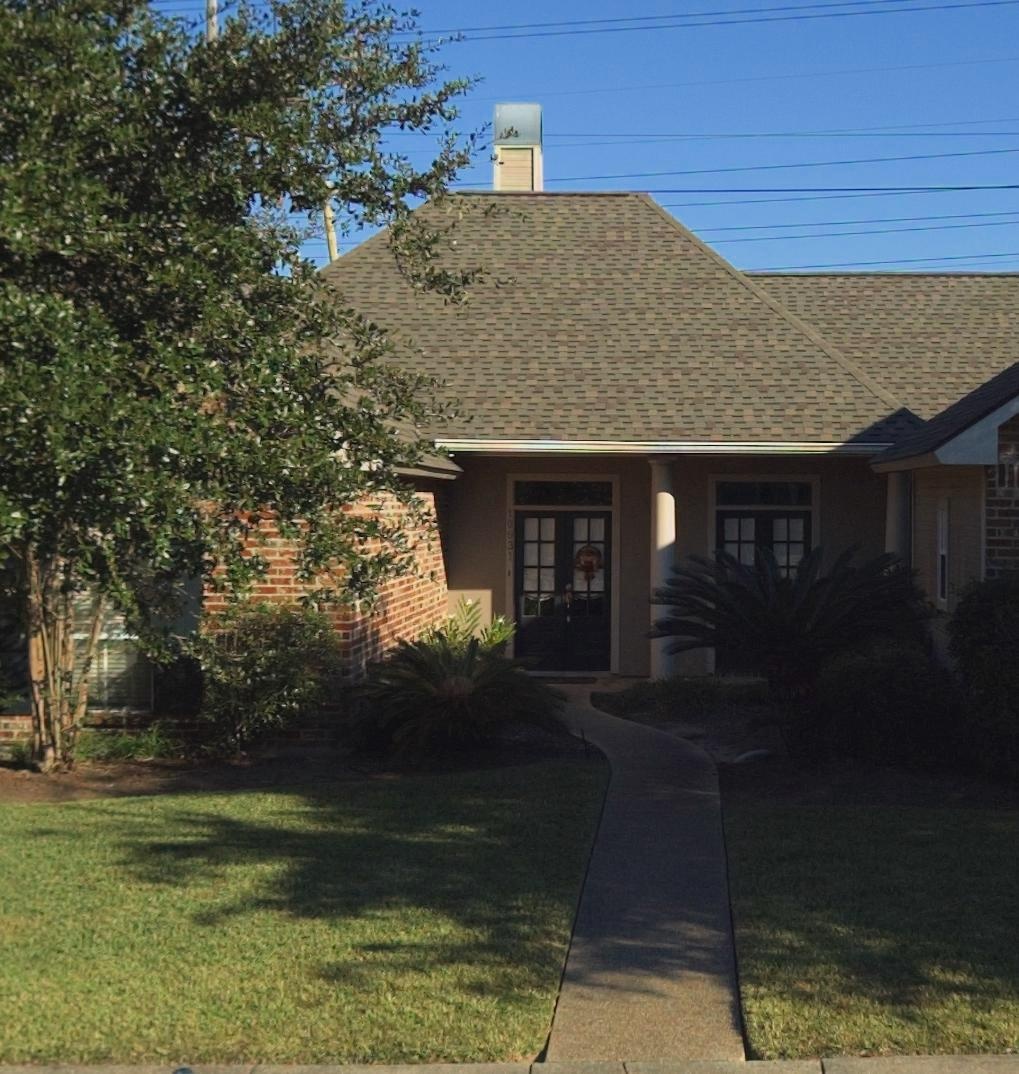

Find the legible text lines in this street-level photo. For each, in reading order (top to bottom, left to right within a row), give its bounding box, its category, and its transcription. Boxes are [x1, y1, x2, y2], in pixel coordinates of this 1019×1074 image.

[505, 506, 515, 564] StreetNumber: 10931